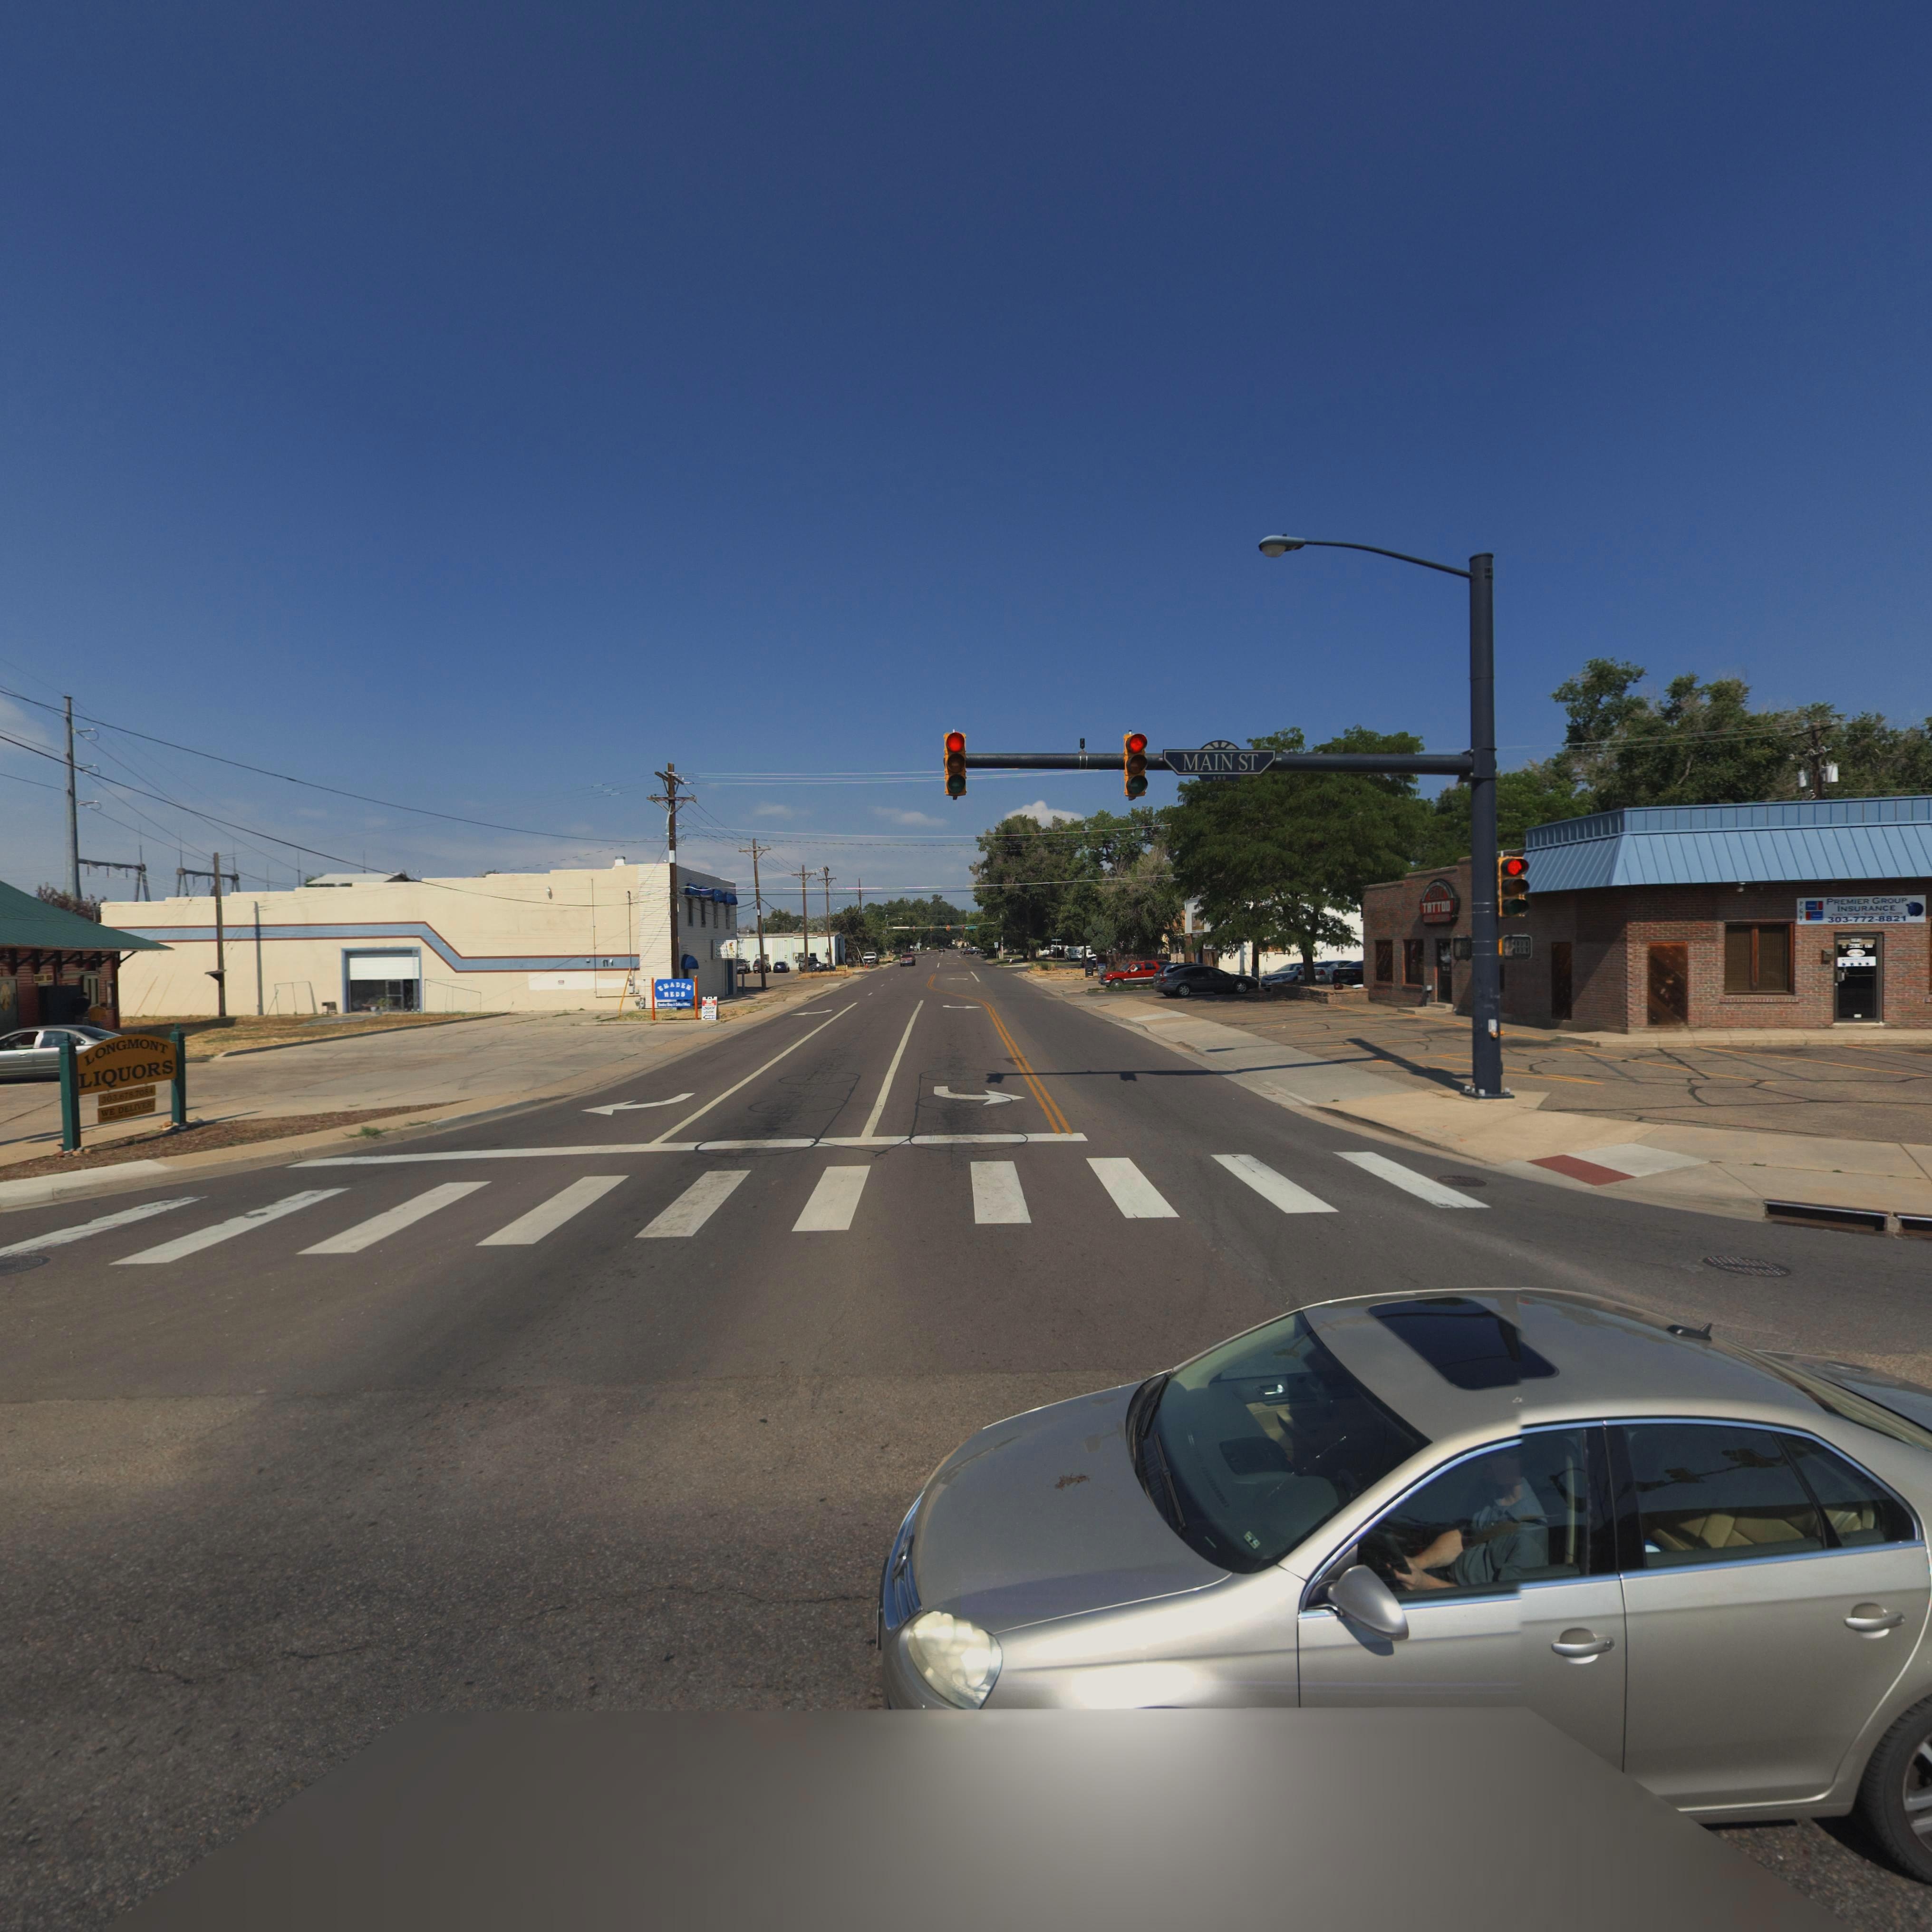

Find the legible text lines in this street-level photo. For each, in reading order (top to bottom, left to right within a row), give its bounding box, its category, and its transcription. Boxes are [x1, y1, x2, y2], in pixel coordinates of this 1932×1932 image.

[1182, 753, 1259, 771] StreetName: MAIN ST
[1212, 775, 1226, 781] StreetNumberRange: 600
[1429, 887, 1444, 898] StreetNumber: 201
[1826, 897, 1907, 905] BusinessName: PREMIER GROUP
[1837, 905, 1896, 912] BusinessName: INSURANCE
[657, 981, 692, 992] BusinessName: T*ADE*
[663, 991, 685, 997] BusinessName: *ED*
[83, 1037, 169, 1067] BusinessName: LONGMONT
[77, 1059, 174, 1090] BusinessName: LIQUORS